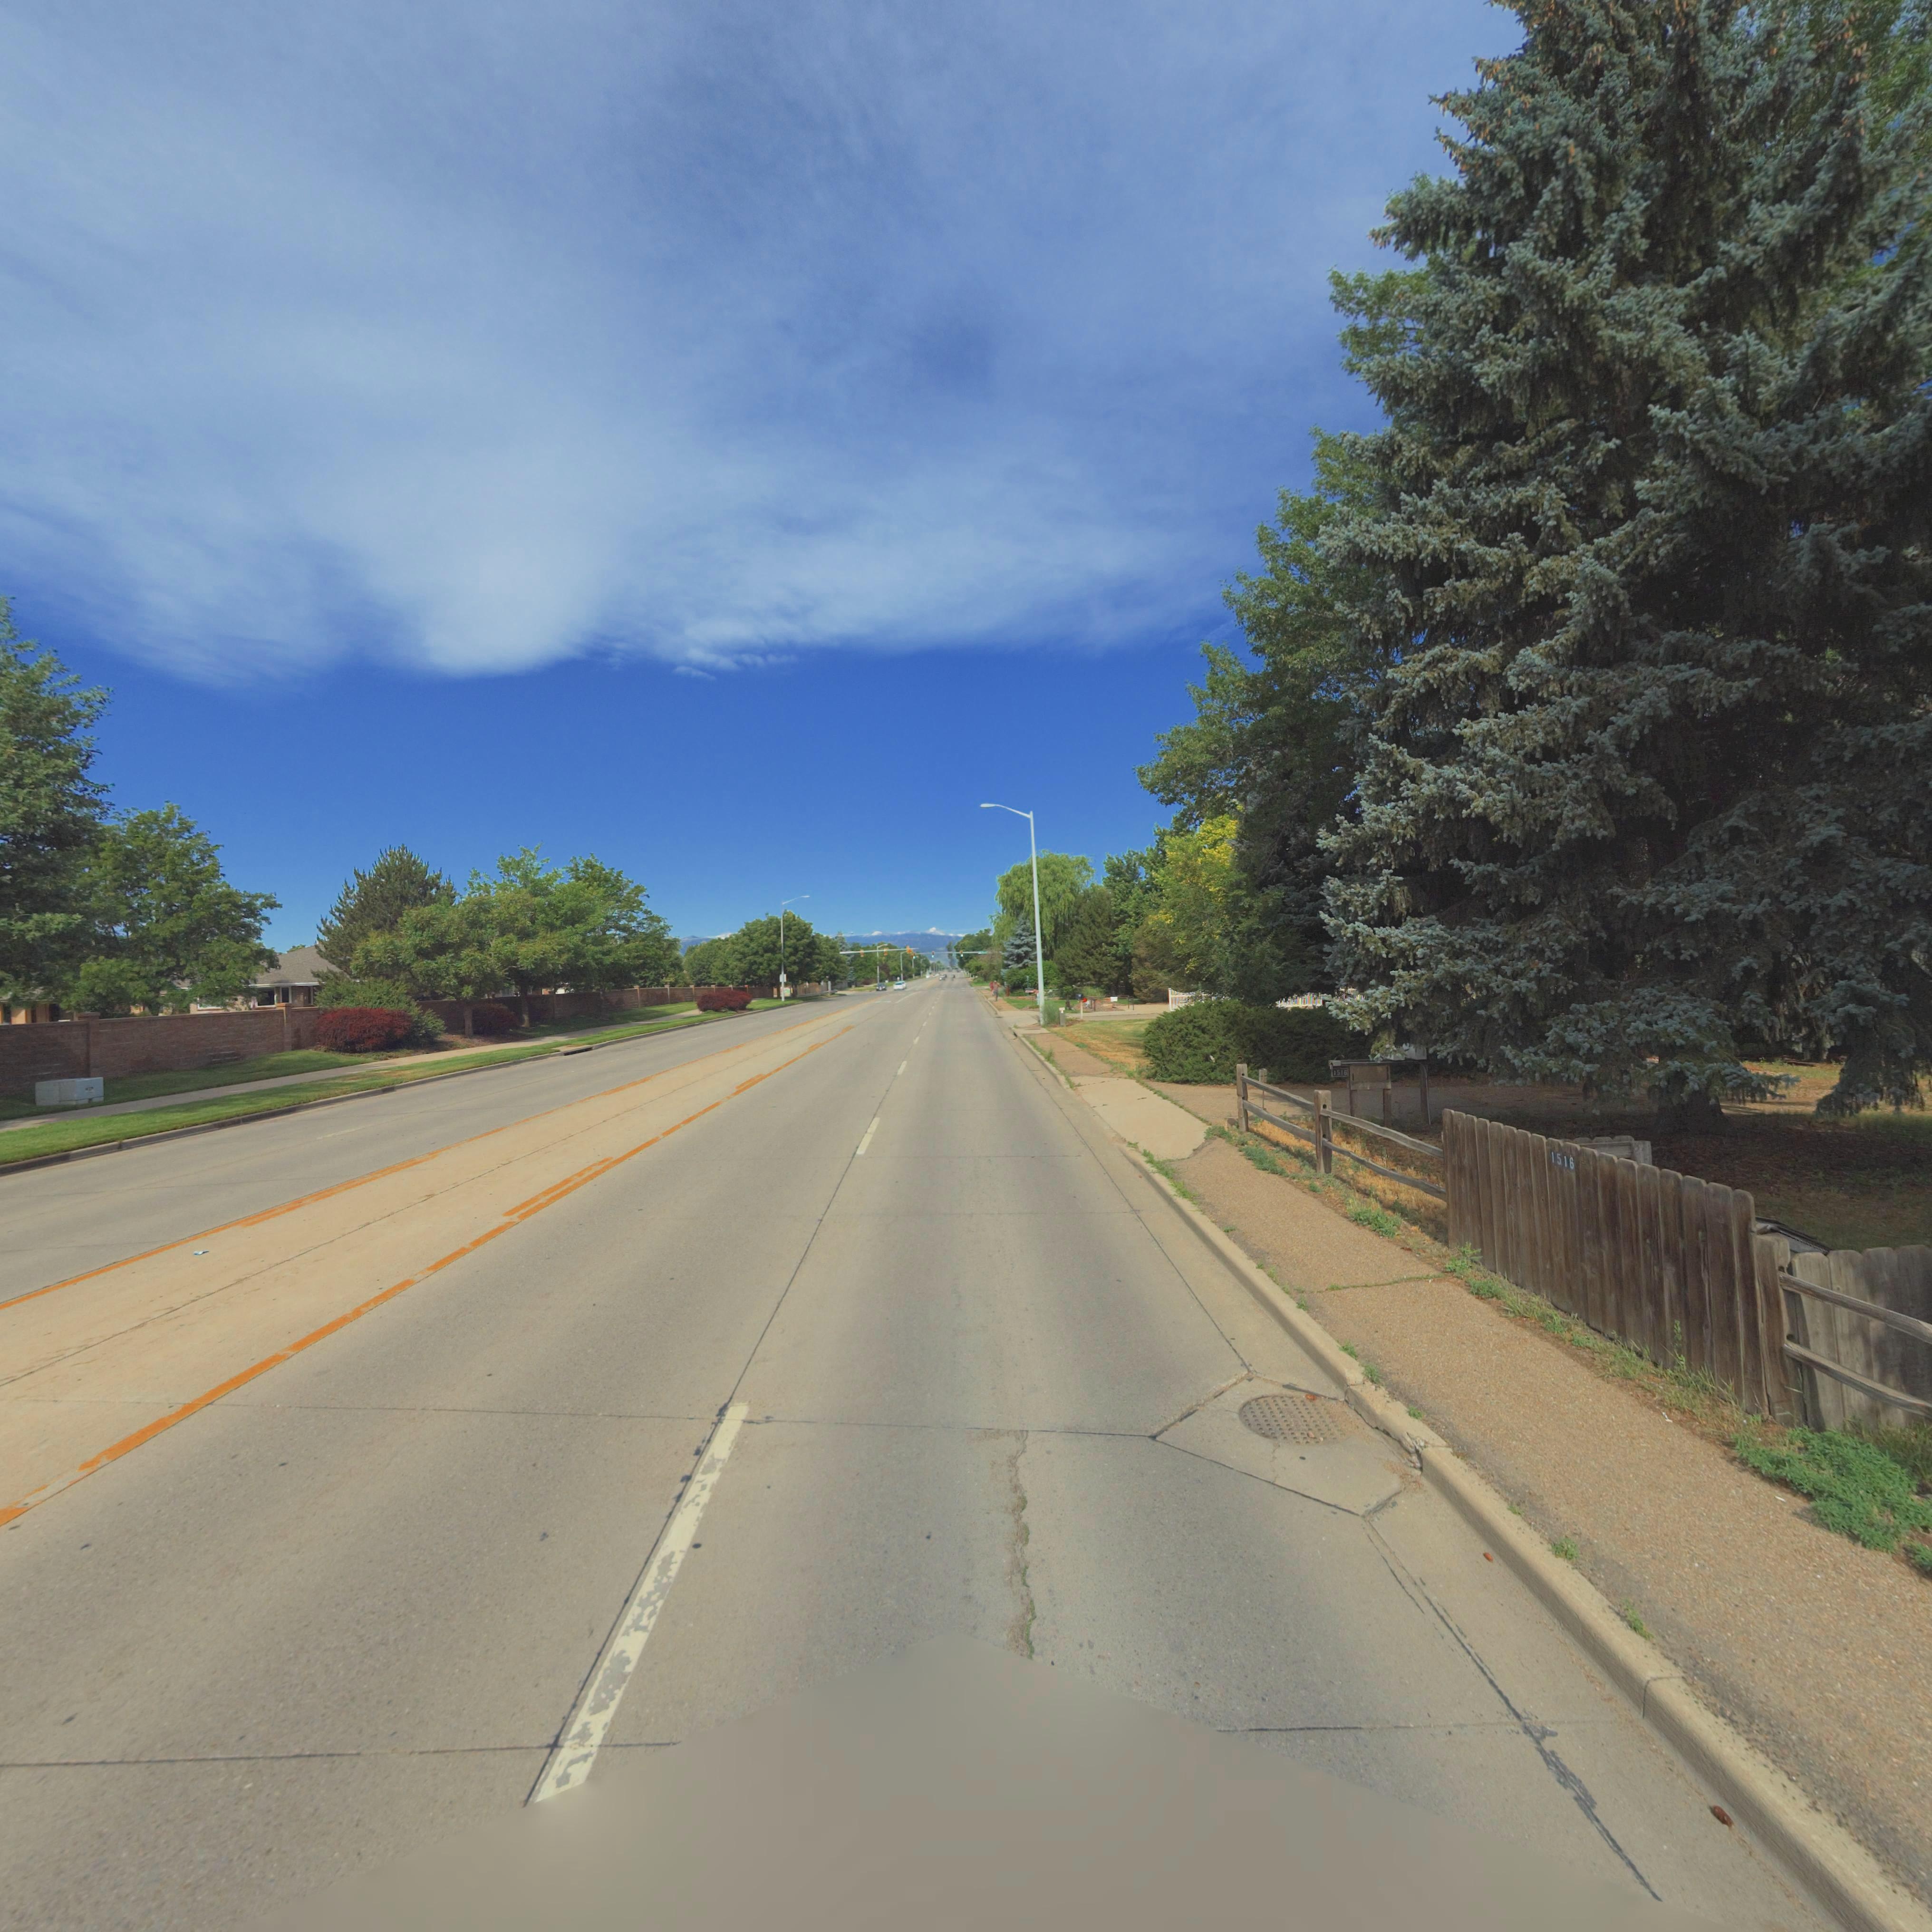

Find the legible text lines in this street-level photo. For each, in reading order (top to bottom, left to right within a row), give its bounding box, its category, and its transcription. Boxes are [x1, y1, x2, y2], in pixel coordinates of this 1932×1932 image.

[1333, 1069, 1347, 1076] StreetNumber: 1516
[1550, 1150, 1575, 1170] StreetNumber: 1516